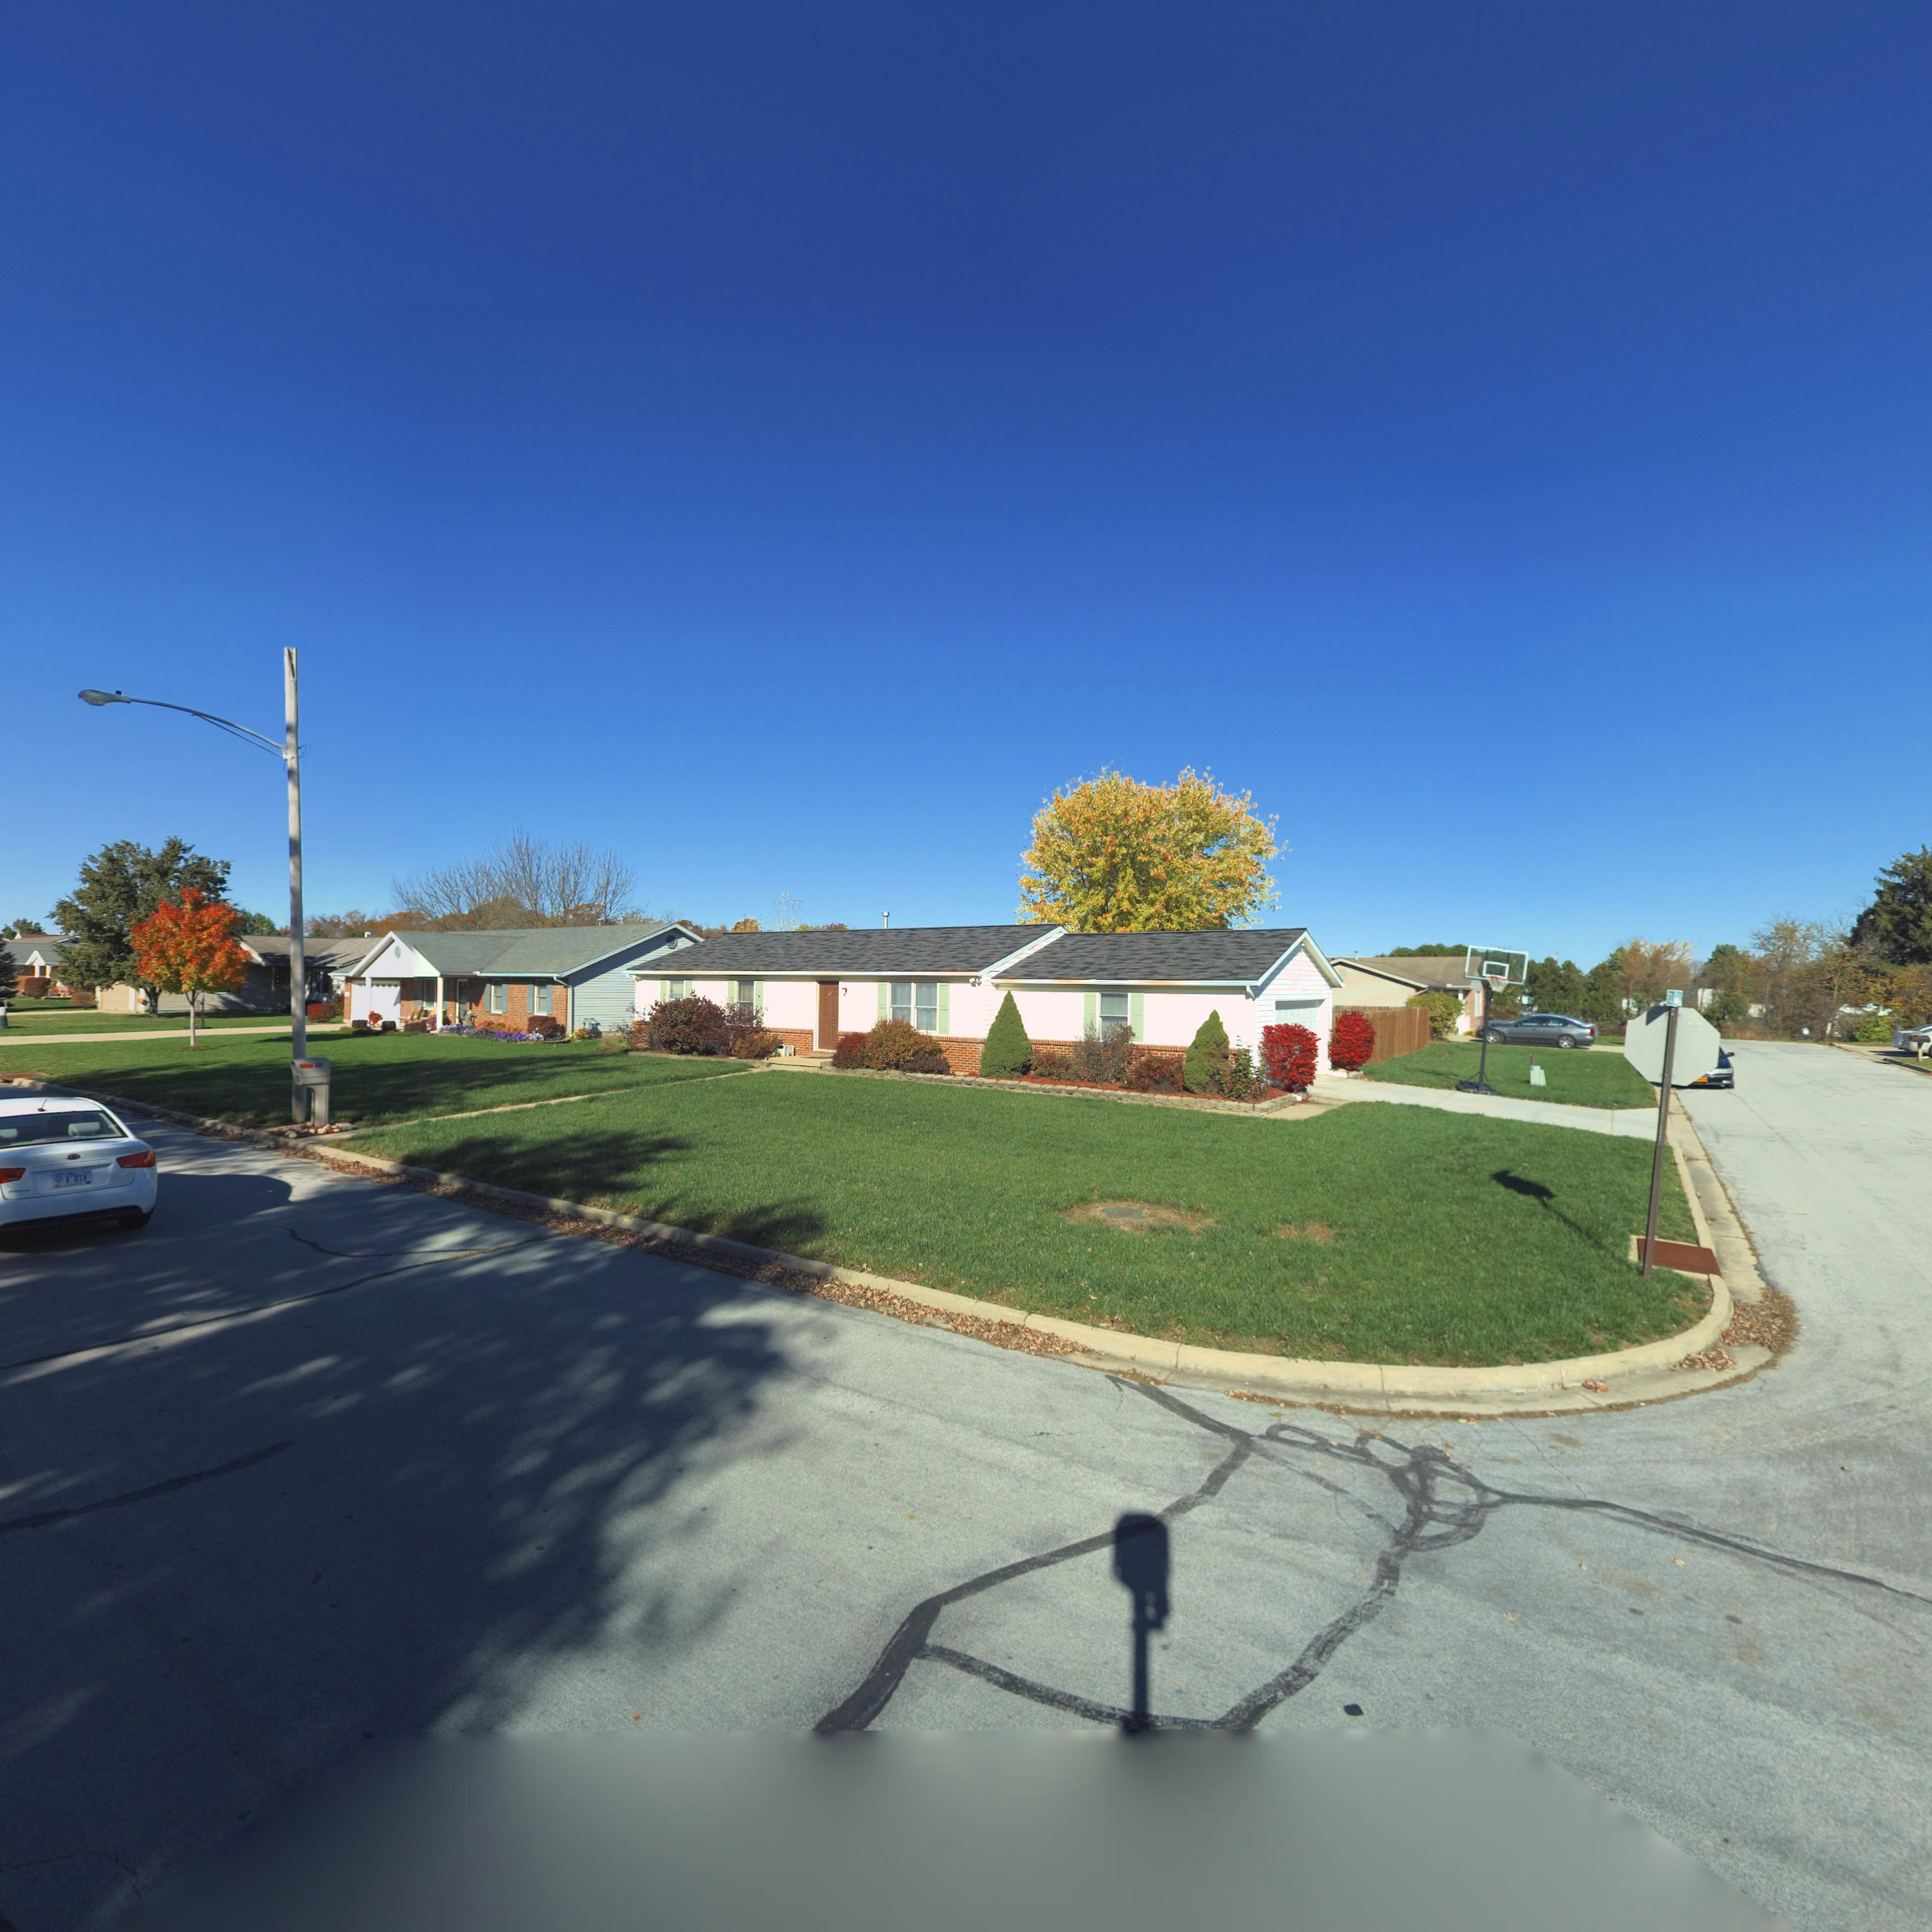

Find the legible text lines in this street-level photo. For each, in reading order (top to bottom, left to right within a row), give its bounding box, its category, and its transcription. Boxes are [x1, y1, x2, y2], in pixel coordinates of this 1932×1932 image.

[314, 1062, 324, 1068] StreetNumber: 122